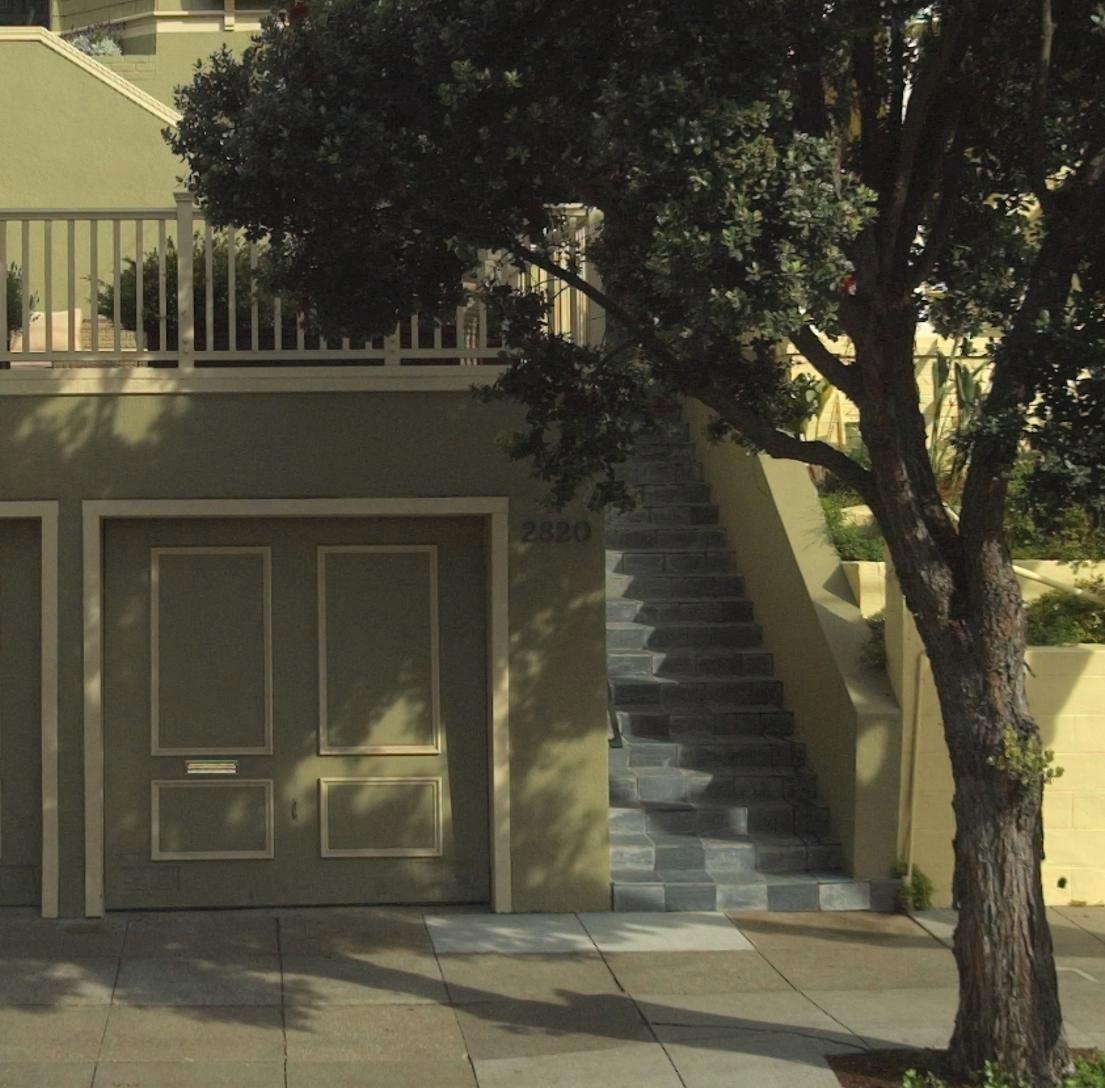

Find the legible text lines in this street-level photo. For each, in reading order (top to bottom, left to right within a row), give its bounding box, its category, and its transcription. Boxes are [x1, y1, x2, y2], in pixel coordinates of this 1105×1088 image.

[520, 518, 593, 545] StreetNumber: 2820